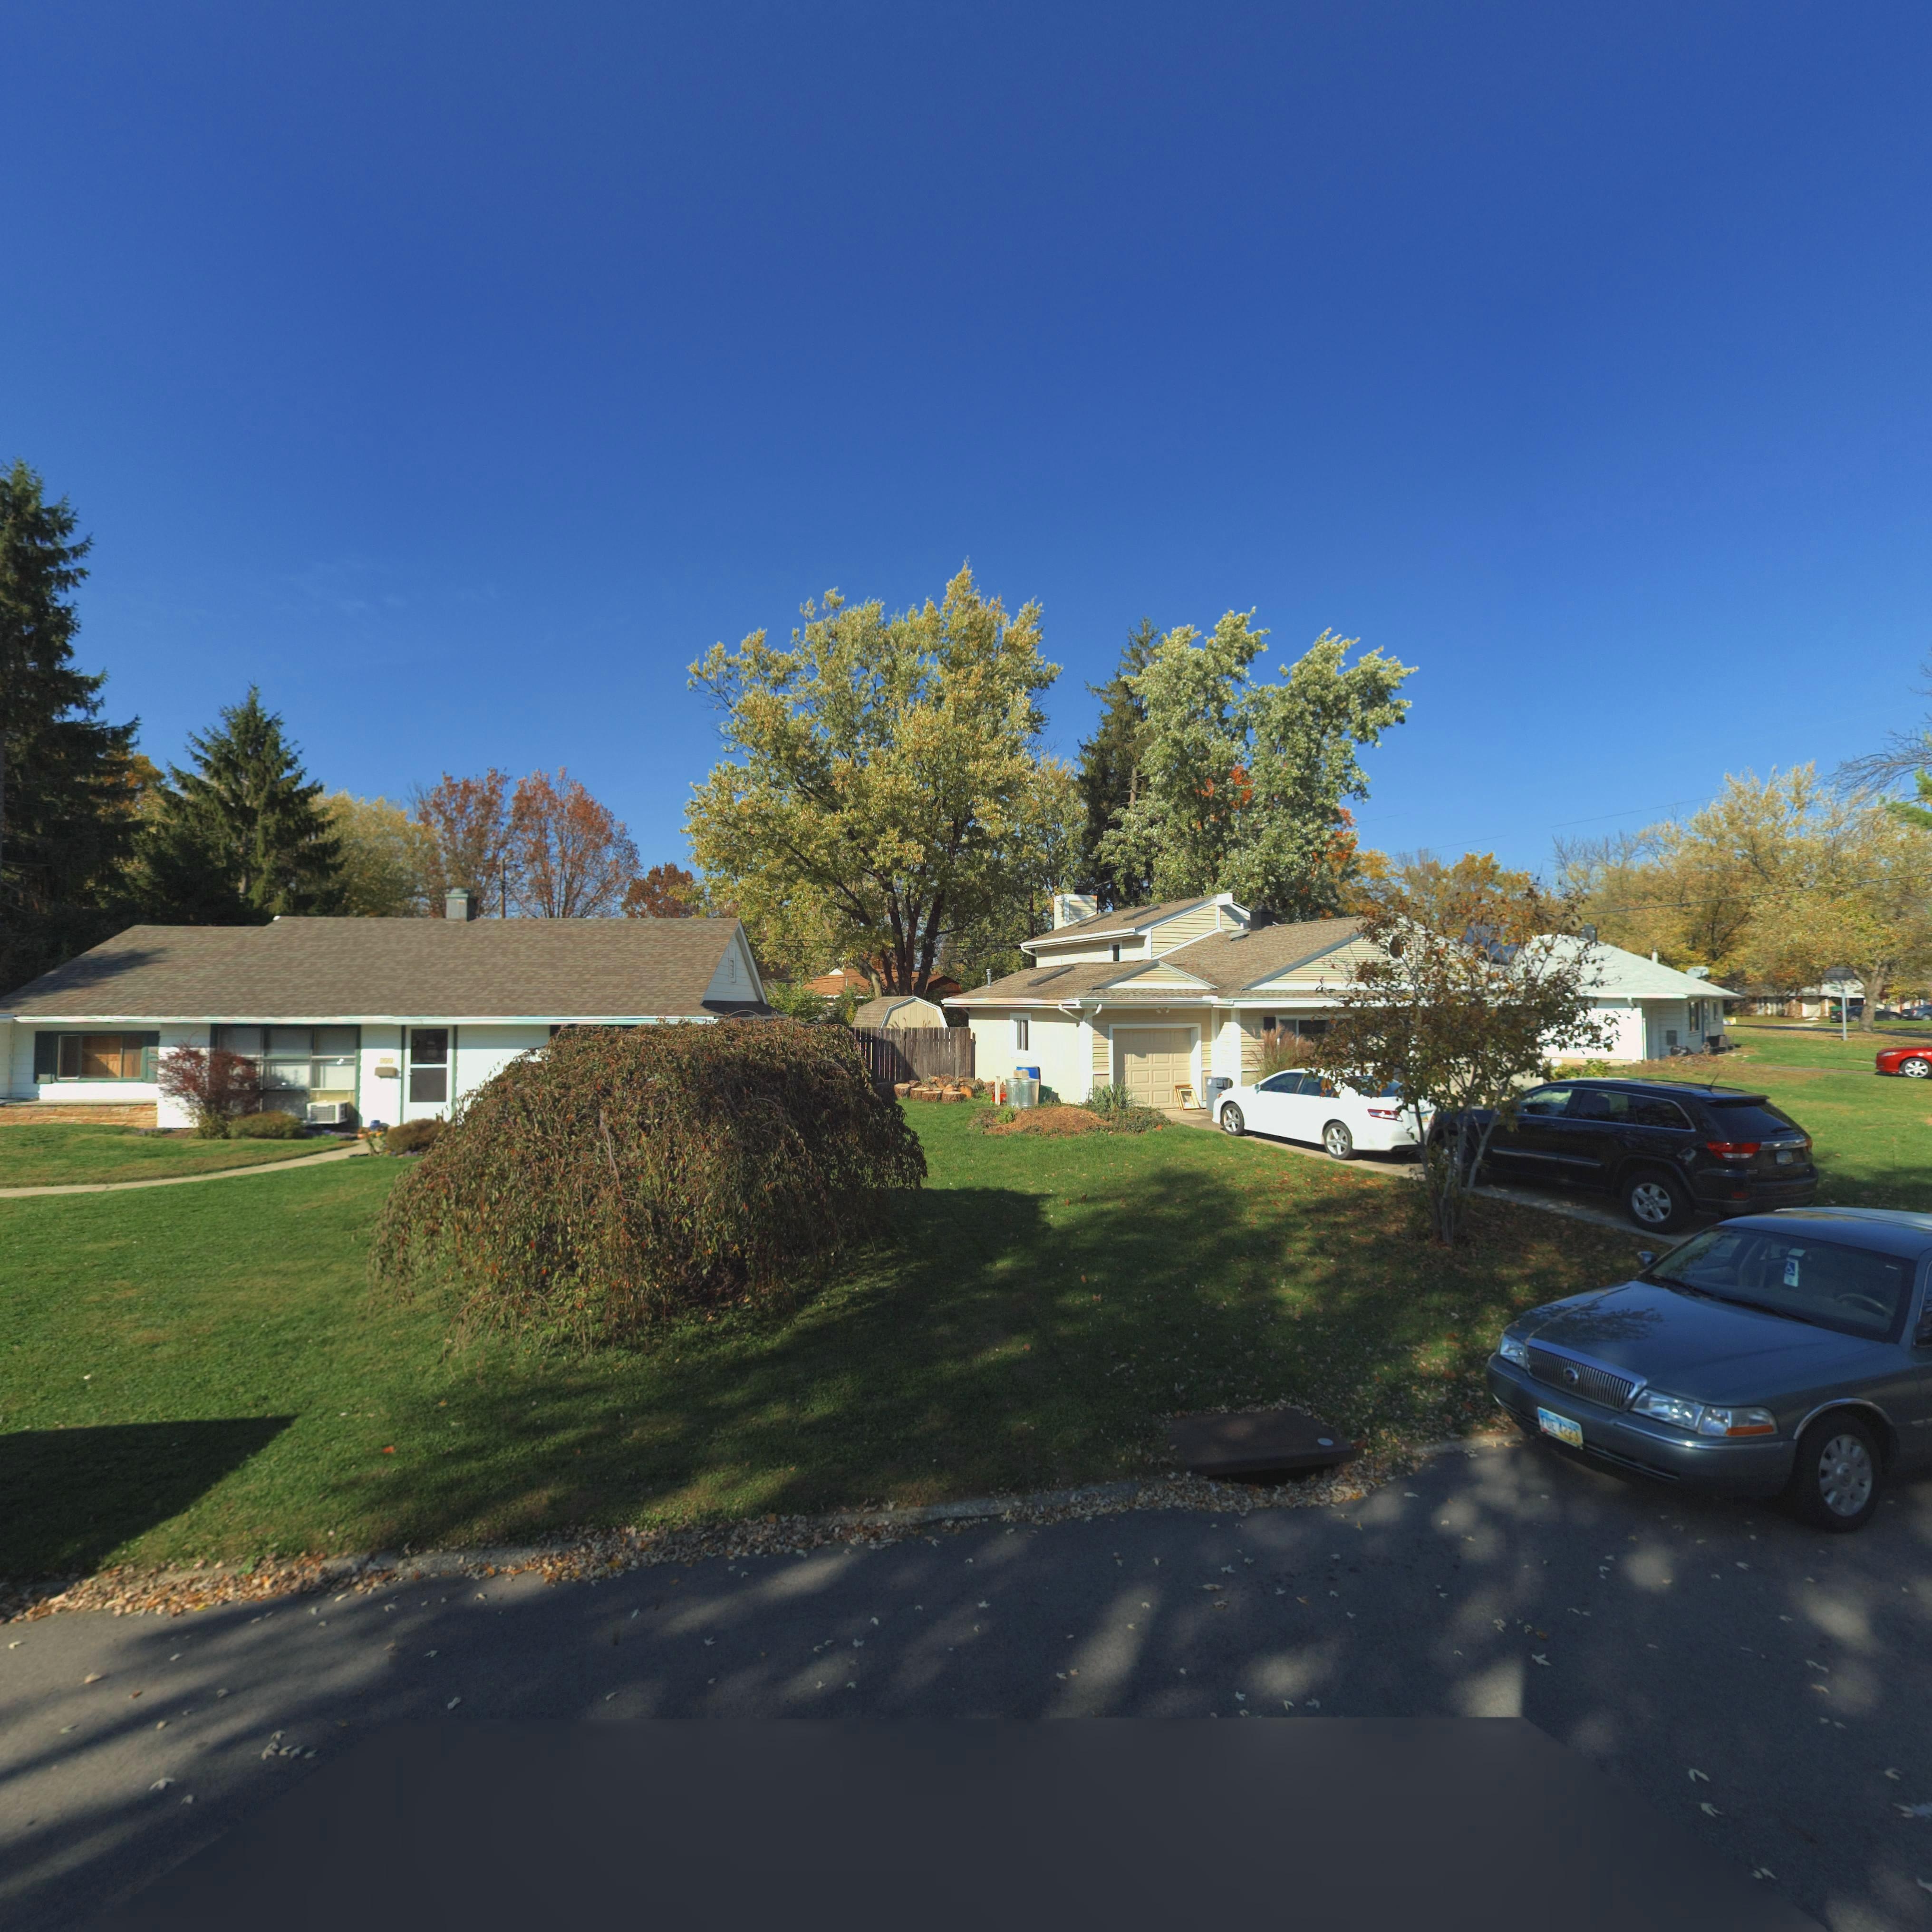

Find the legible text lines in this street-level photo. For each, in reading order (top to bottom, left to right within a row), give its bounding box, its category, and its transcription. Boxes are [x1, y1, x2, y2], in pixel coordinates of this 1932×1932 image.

[1539, 1412, 1581, 1446] None: FUE 4223